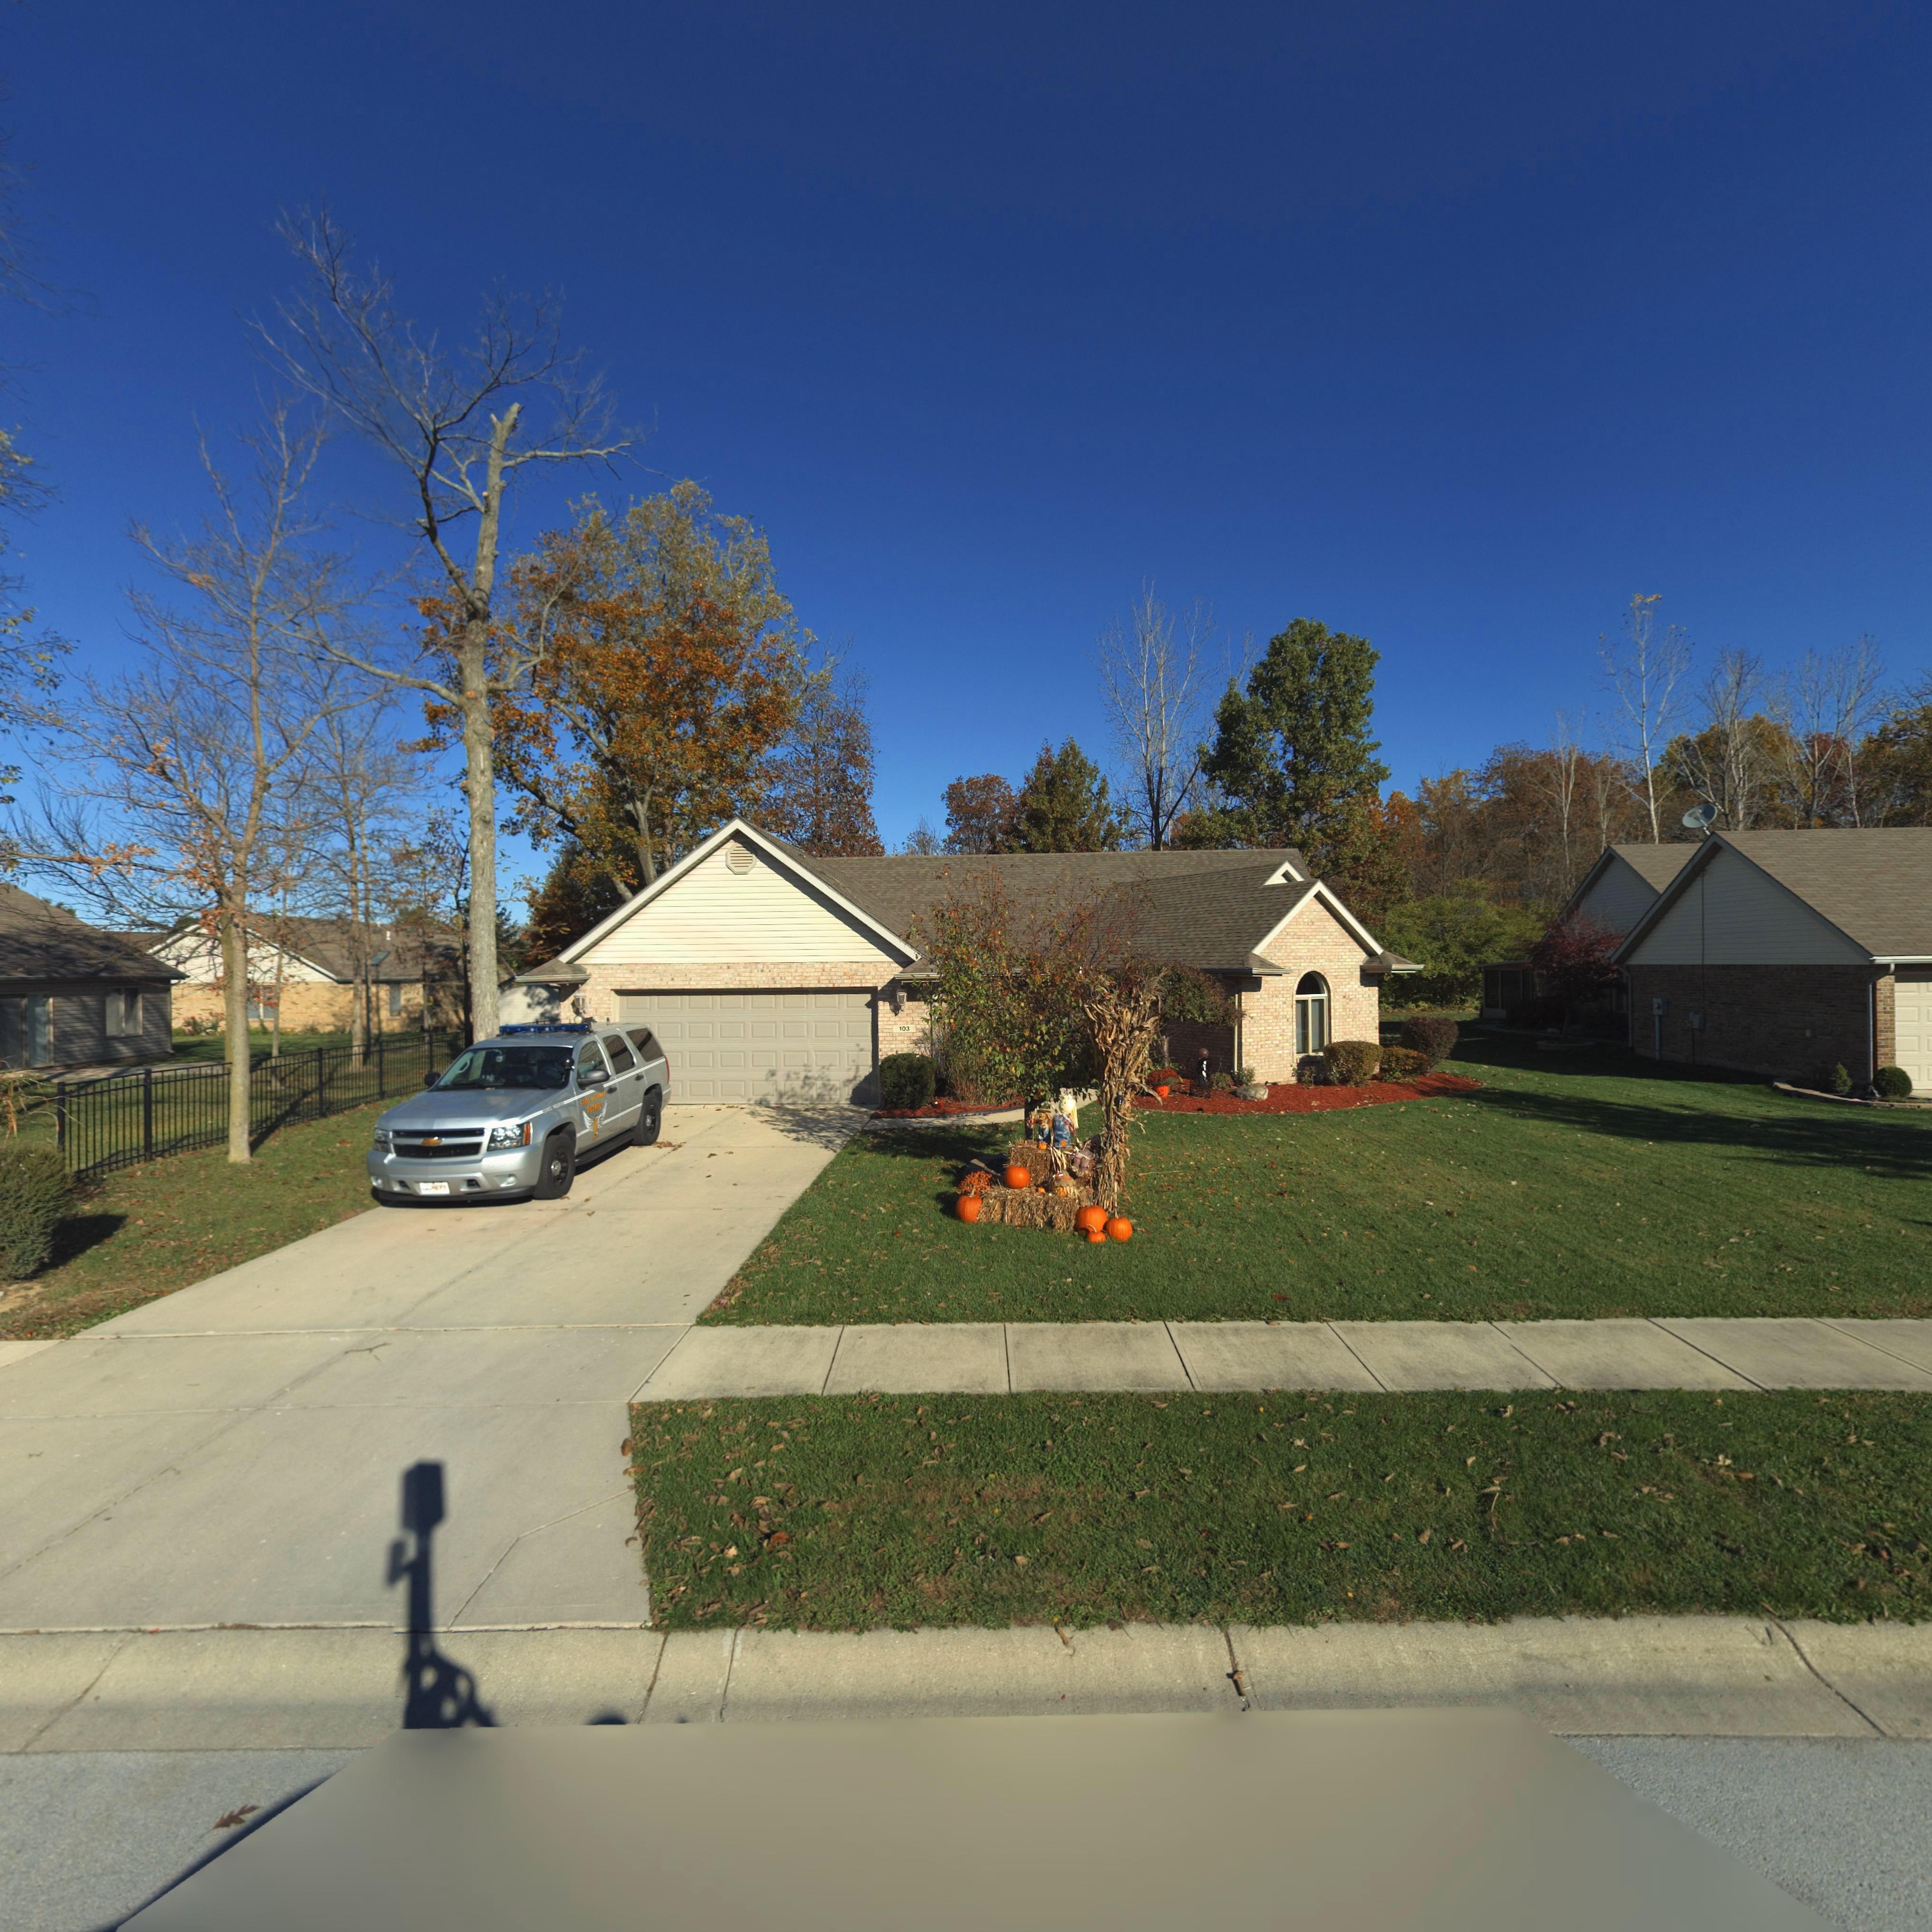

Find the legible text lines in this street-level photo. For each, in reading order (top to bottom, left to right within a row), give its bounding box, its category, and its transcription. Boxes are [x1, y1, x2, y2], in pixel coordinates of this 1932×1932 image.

[898, 1025, 910, 1032] StreetNumber: 103